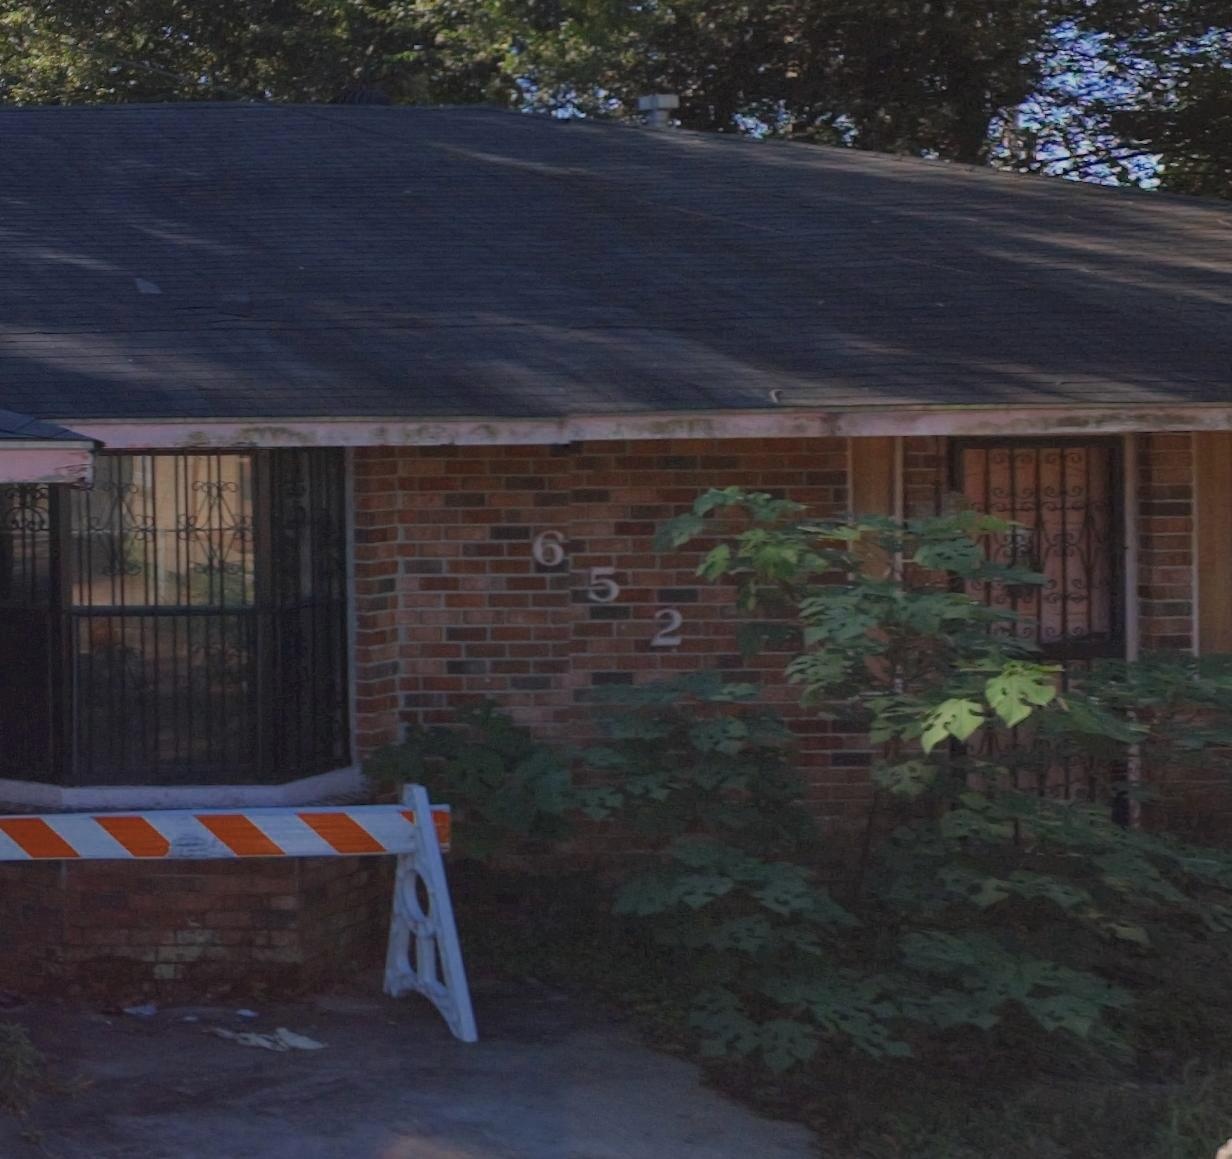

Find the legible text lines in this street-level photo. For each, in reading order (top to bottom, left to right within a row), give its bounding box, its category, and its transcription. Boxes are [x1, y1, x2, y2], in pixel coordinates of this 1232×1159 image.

[523, 515, 699, 667] StreetNumber: 652